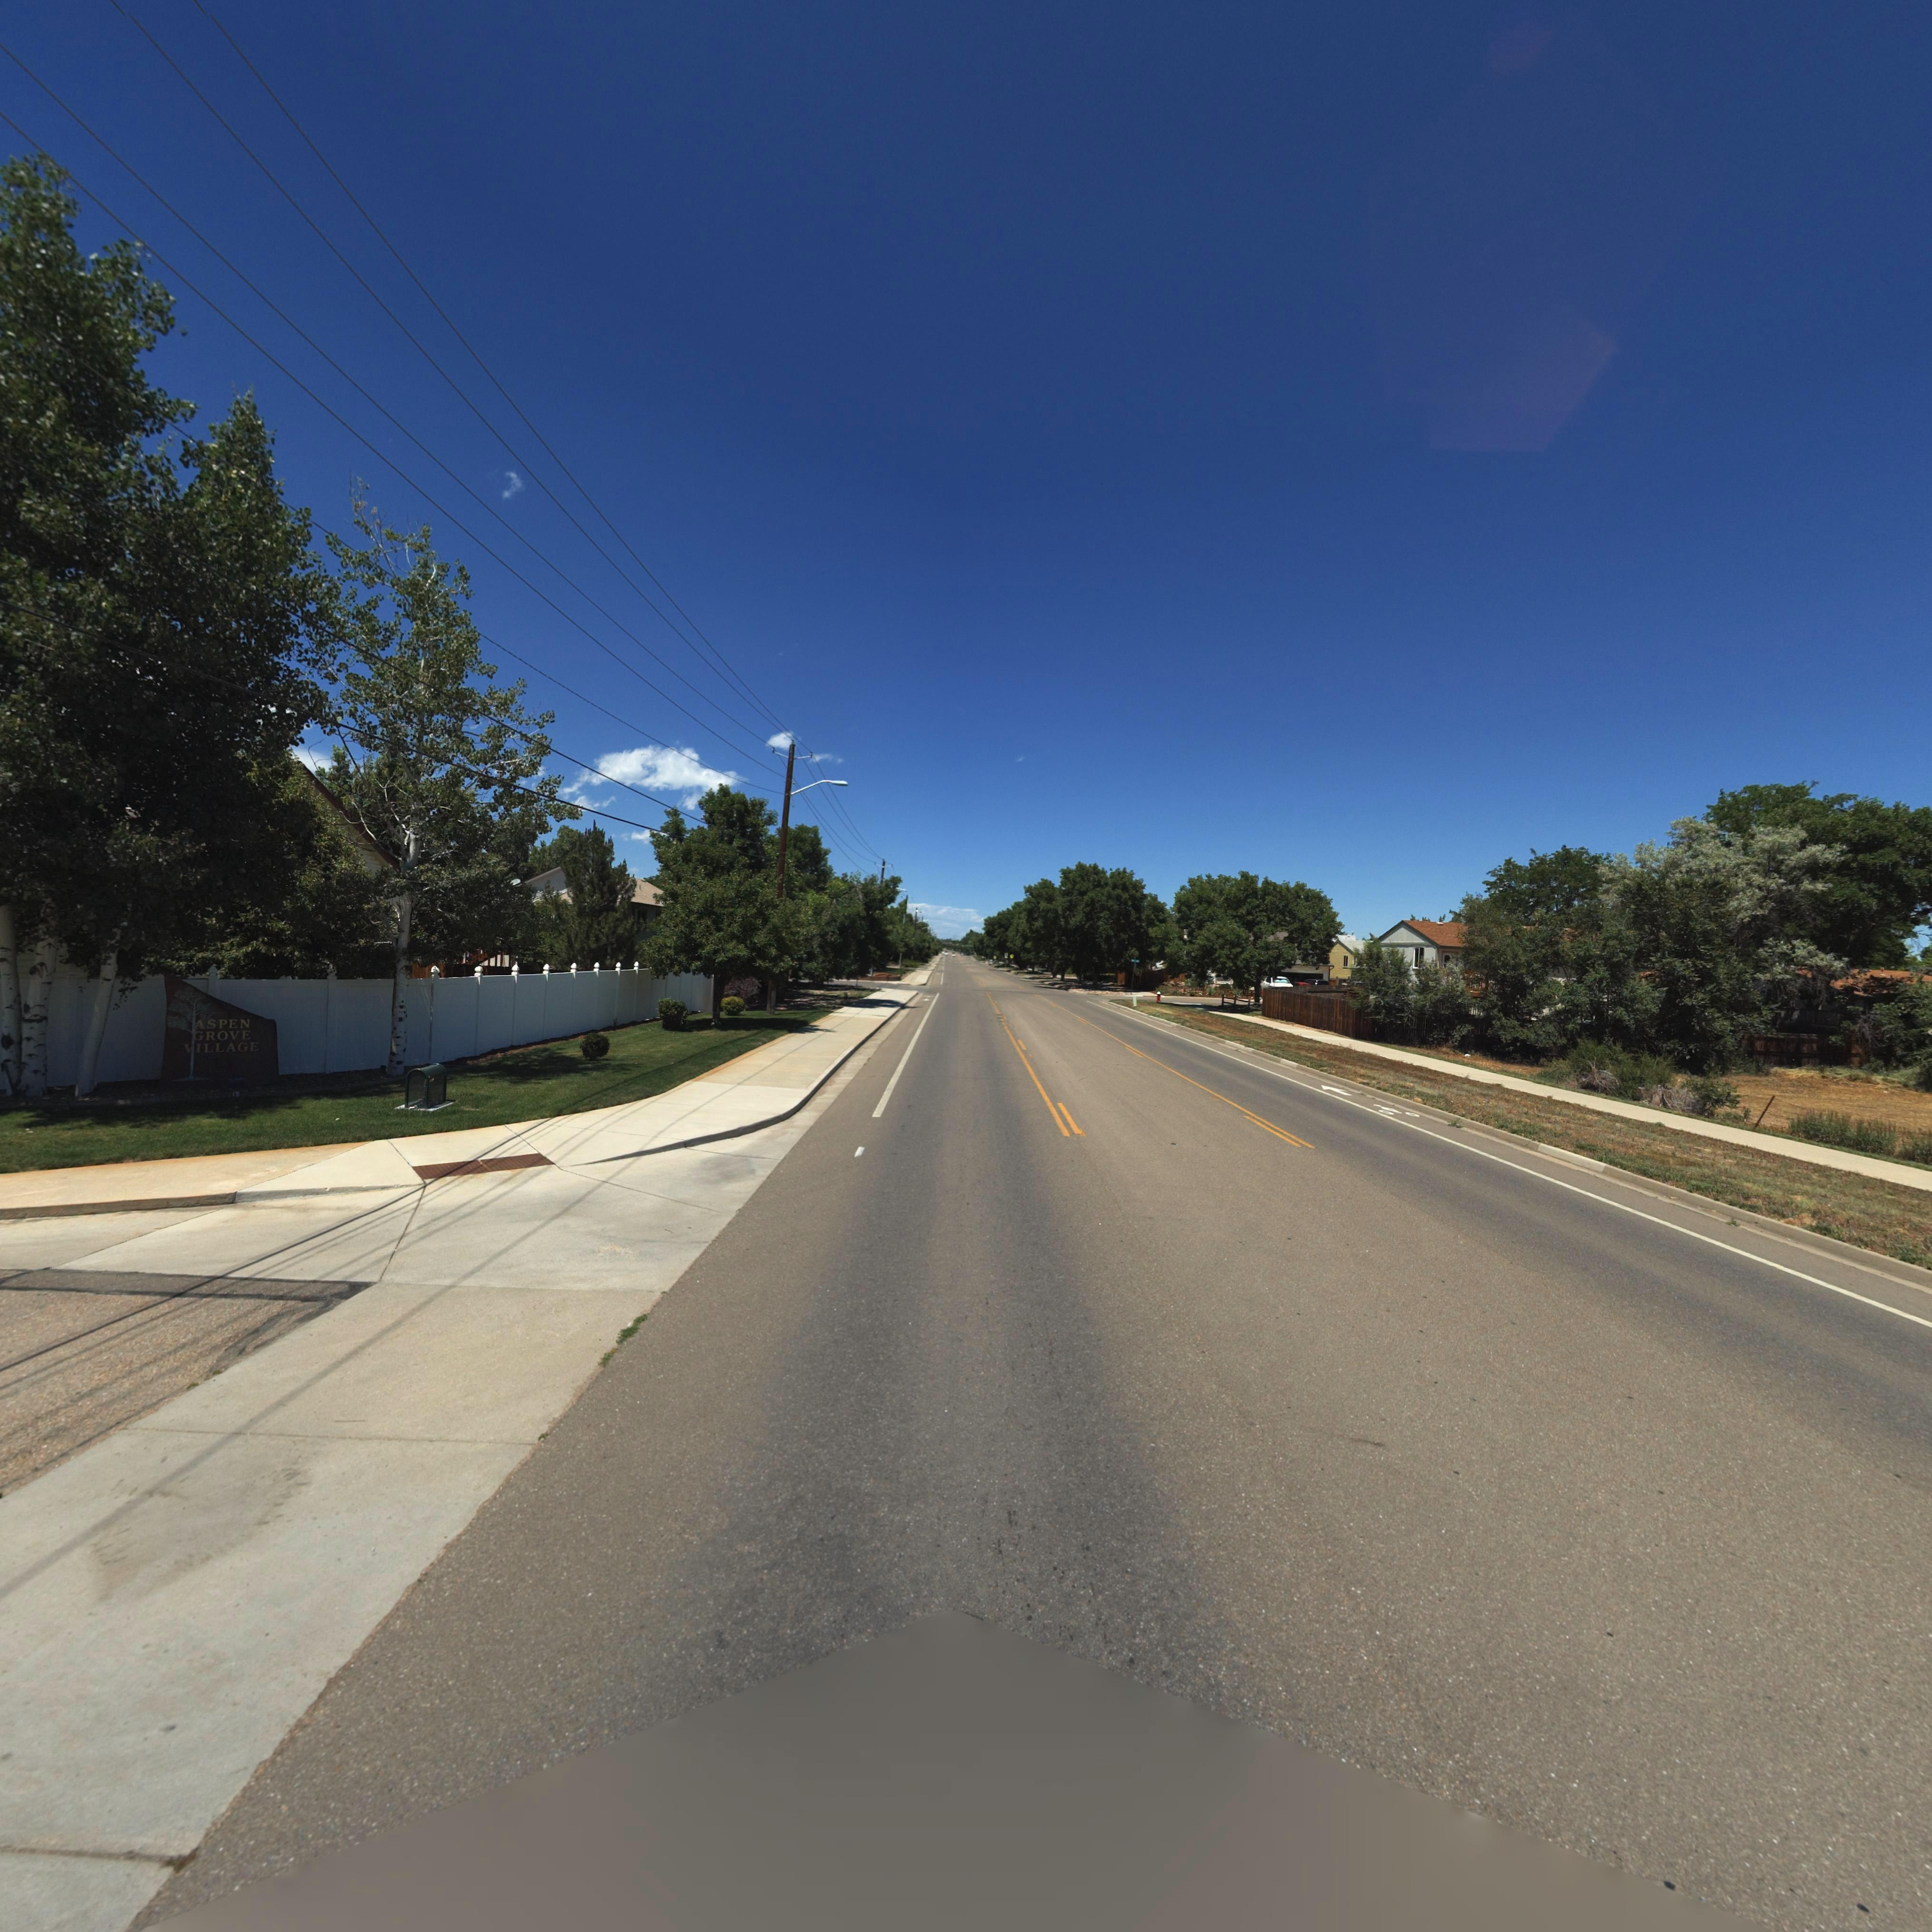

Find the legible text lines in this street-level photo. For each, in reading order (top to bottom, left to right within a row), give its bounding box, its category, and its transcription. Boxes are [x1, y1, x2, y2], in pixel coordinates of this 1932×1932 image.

[193, 1018, 251, 1029] BusinessName: Aspen
[193, 1030, 251, 1041] BusinessName: Grove
[183, 1041, 259, 1053] BusinessName: Village